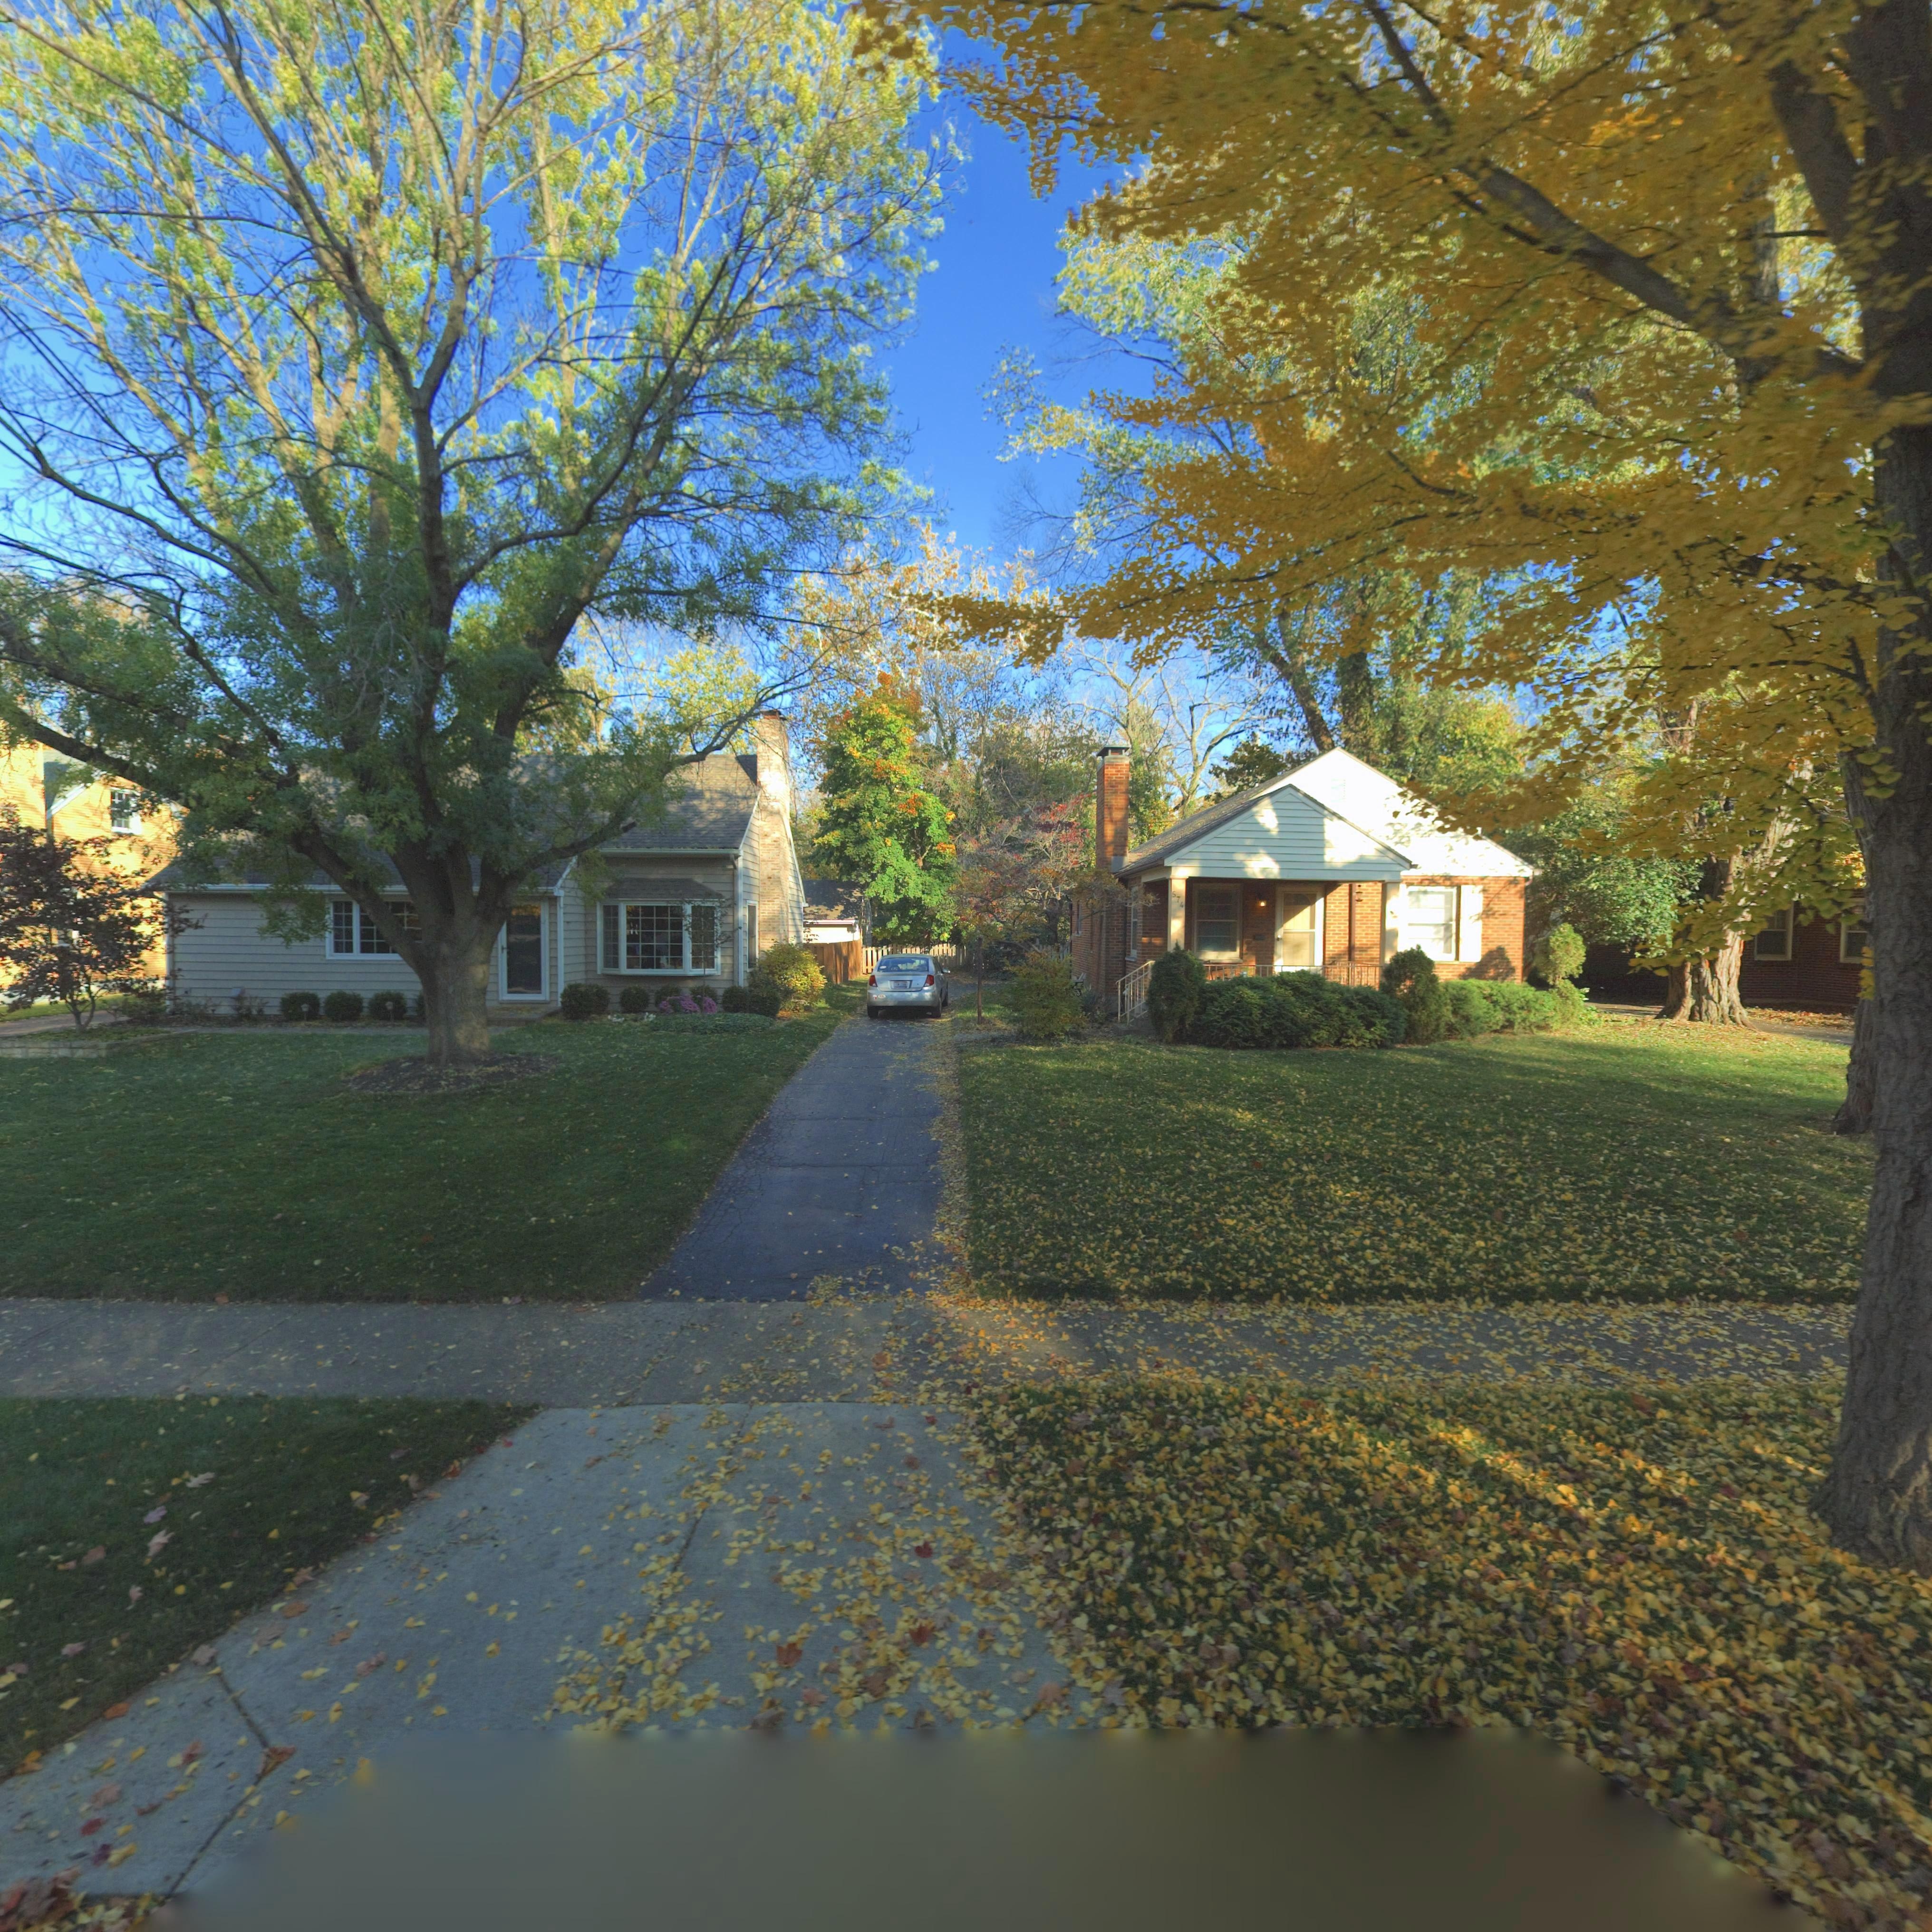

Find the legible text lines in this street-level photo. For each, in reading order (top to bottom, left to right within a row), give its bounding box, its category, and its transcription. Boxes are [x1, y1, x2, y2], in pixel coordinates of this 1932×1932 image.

[1172, 890, 1183, 908] StreetNumber: 574